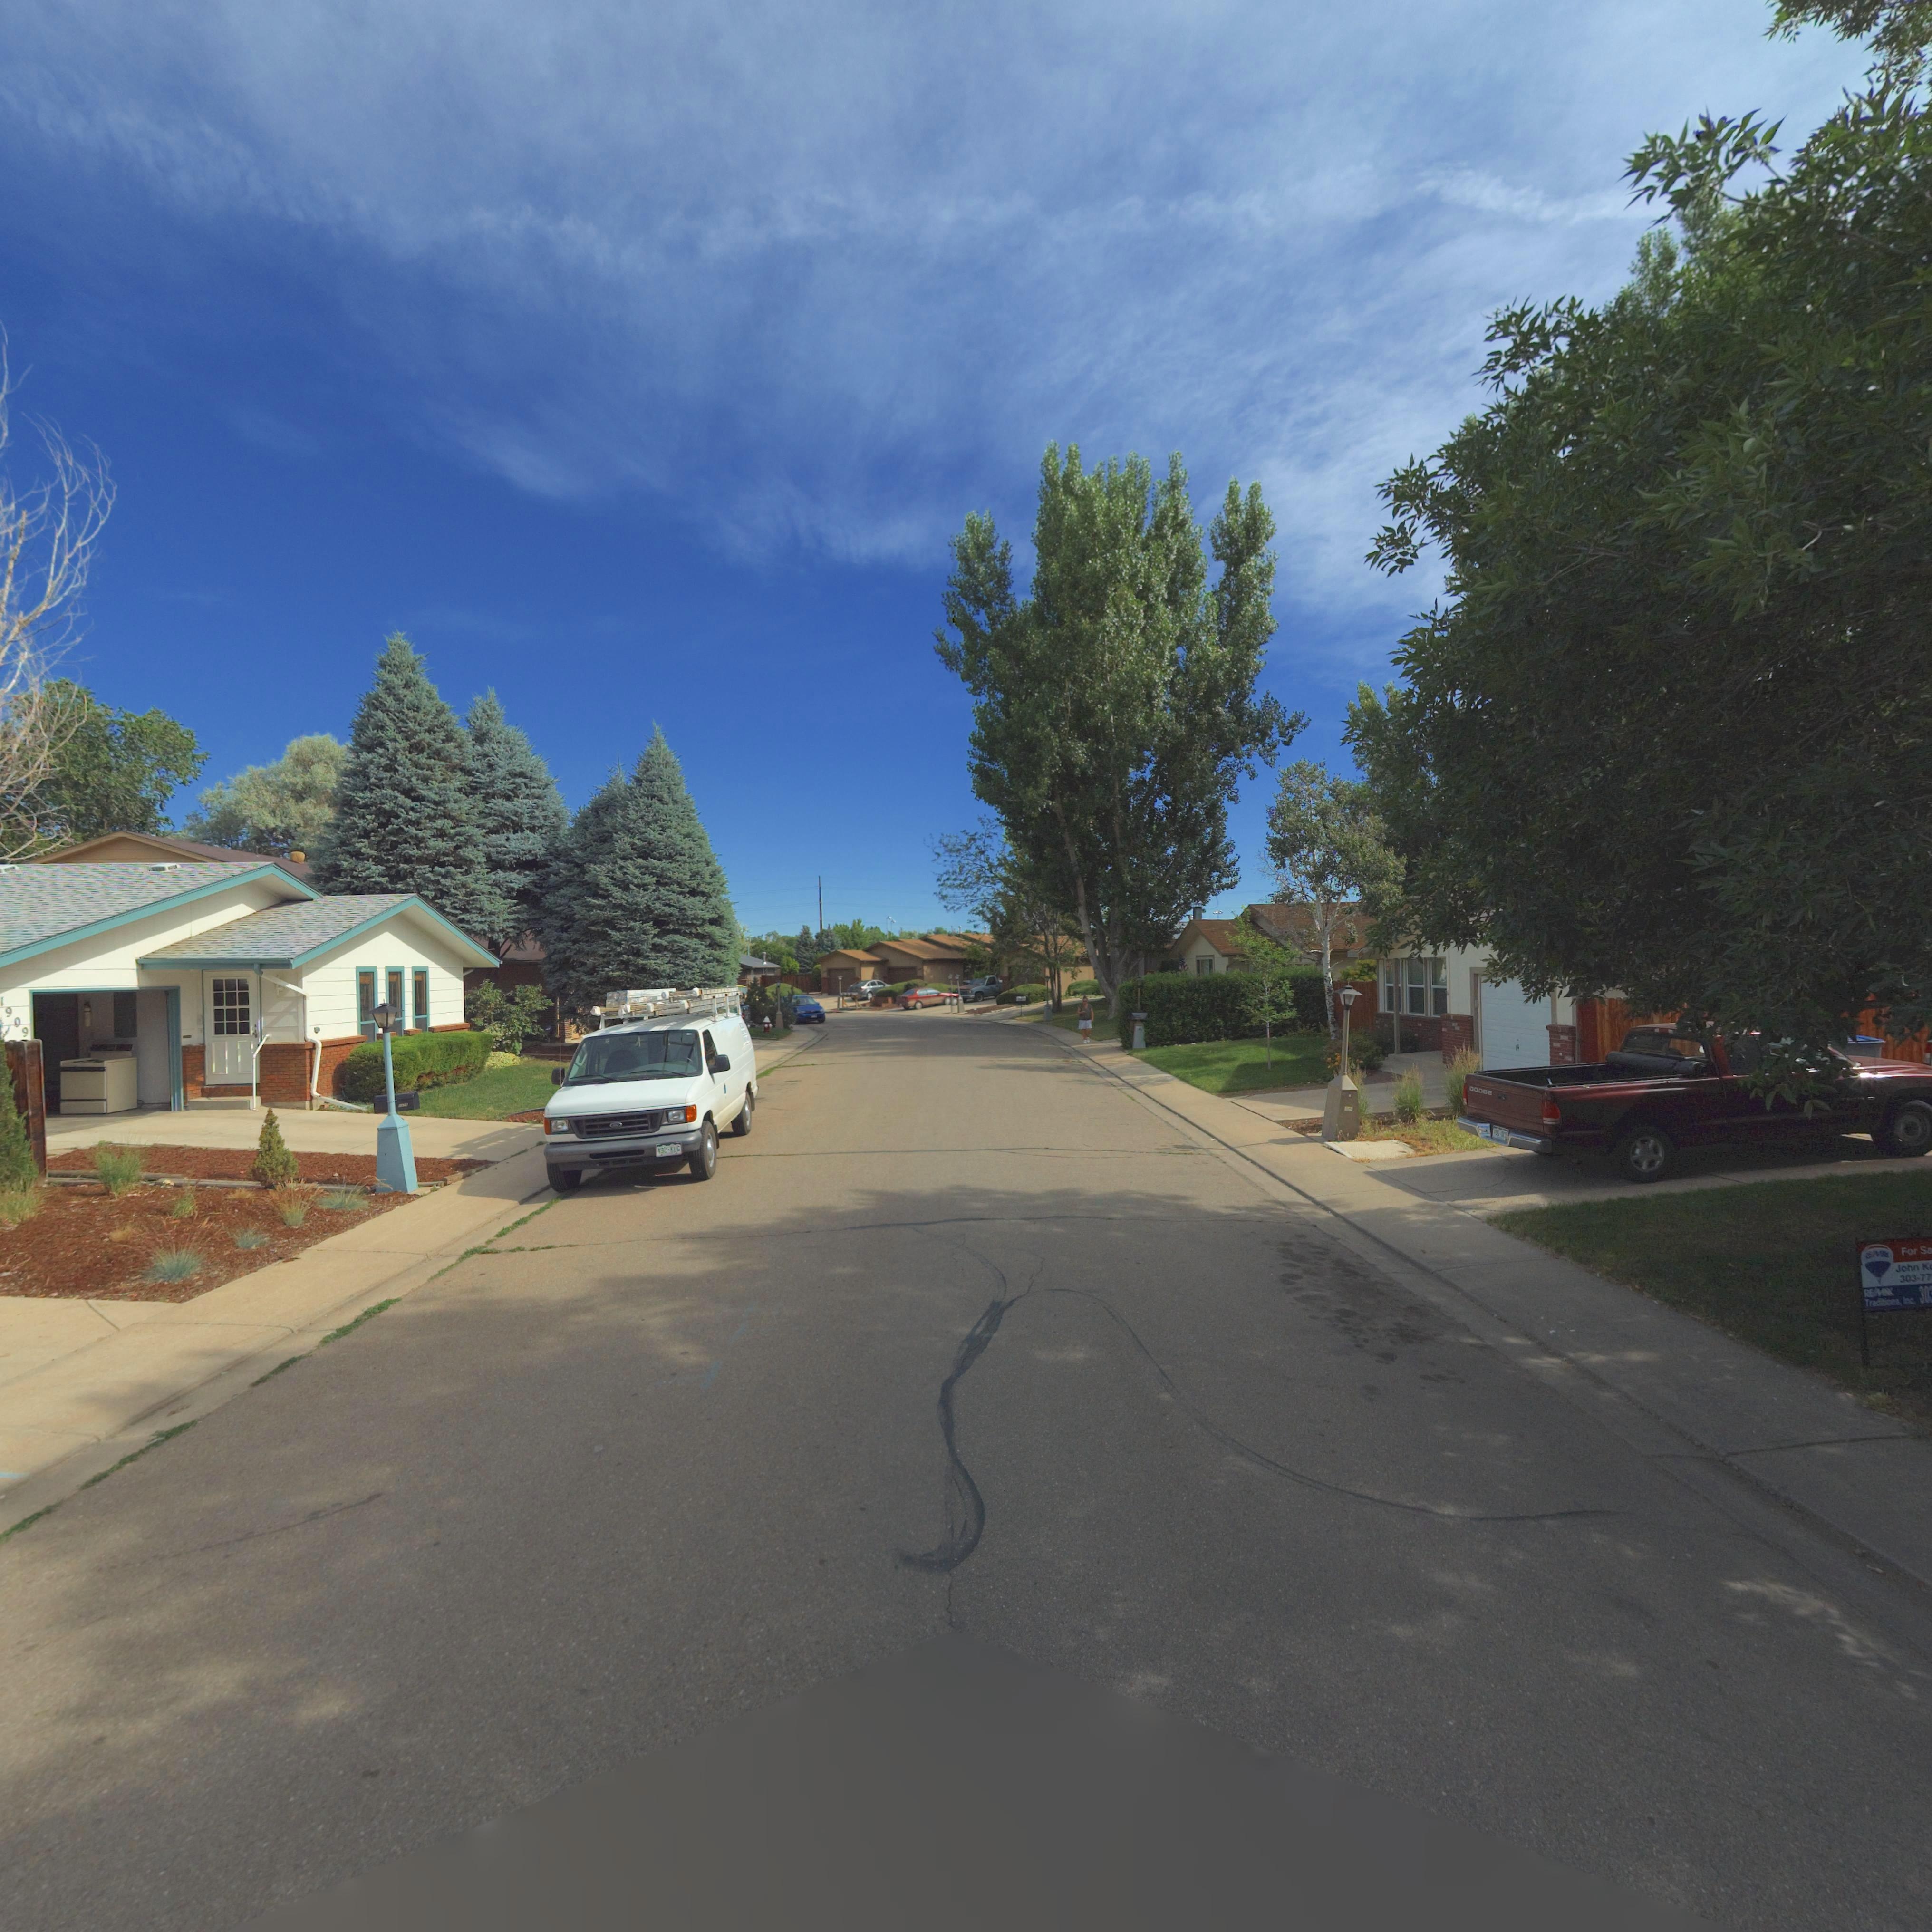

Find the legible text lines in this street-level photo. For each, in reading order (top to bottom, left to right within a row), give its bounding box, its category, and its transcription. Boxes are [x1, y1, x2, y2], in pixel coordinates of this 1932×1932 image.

[0, 996, 29, 1038] StreetNumber: 1909